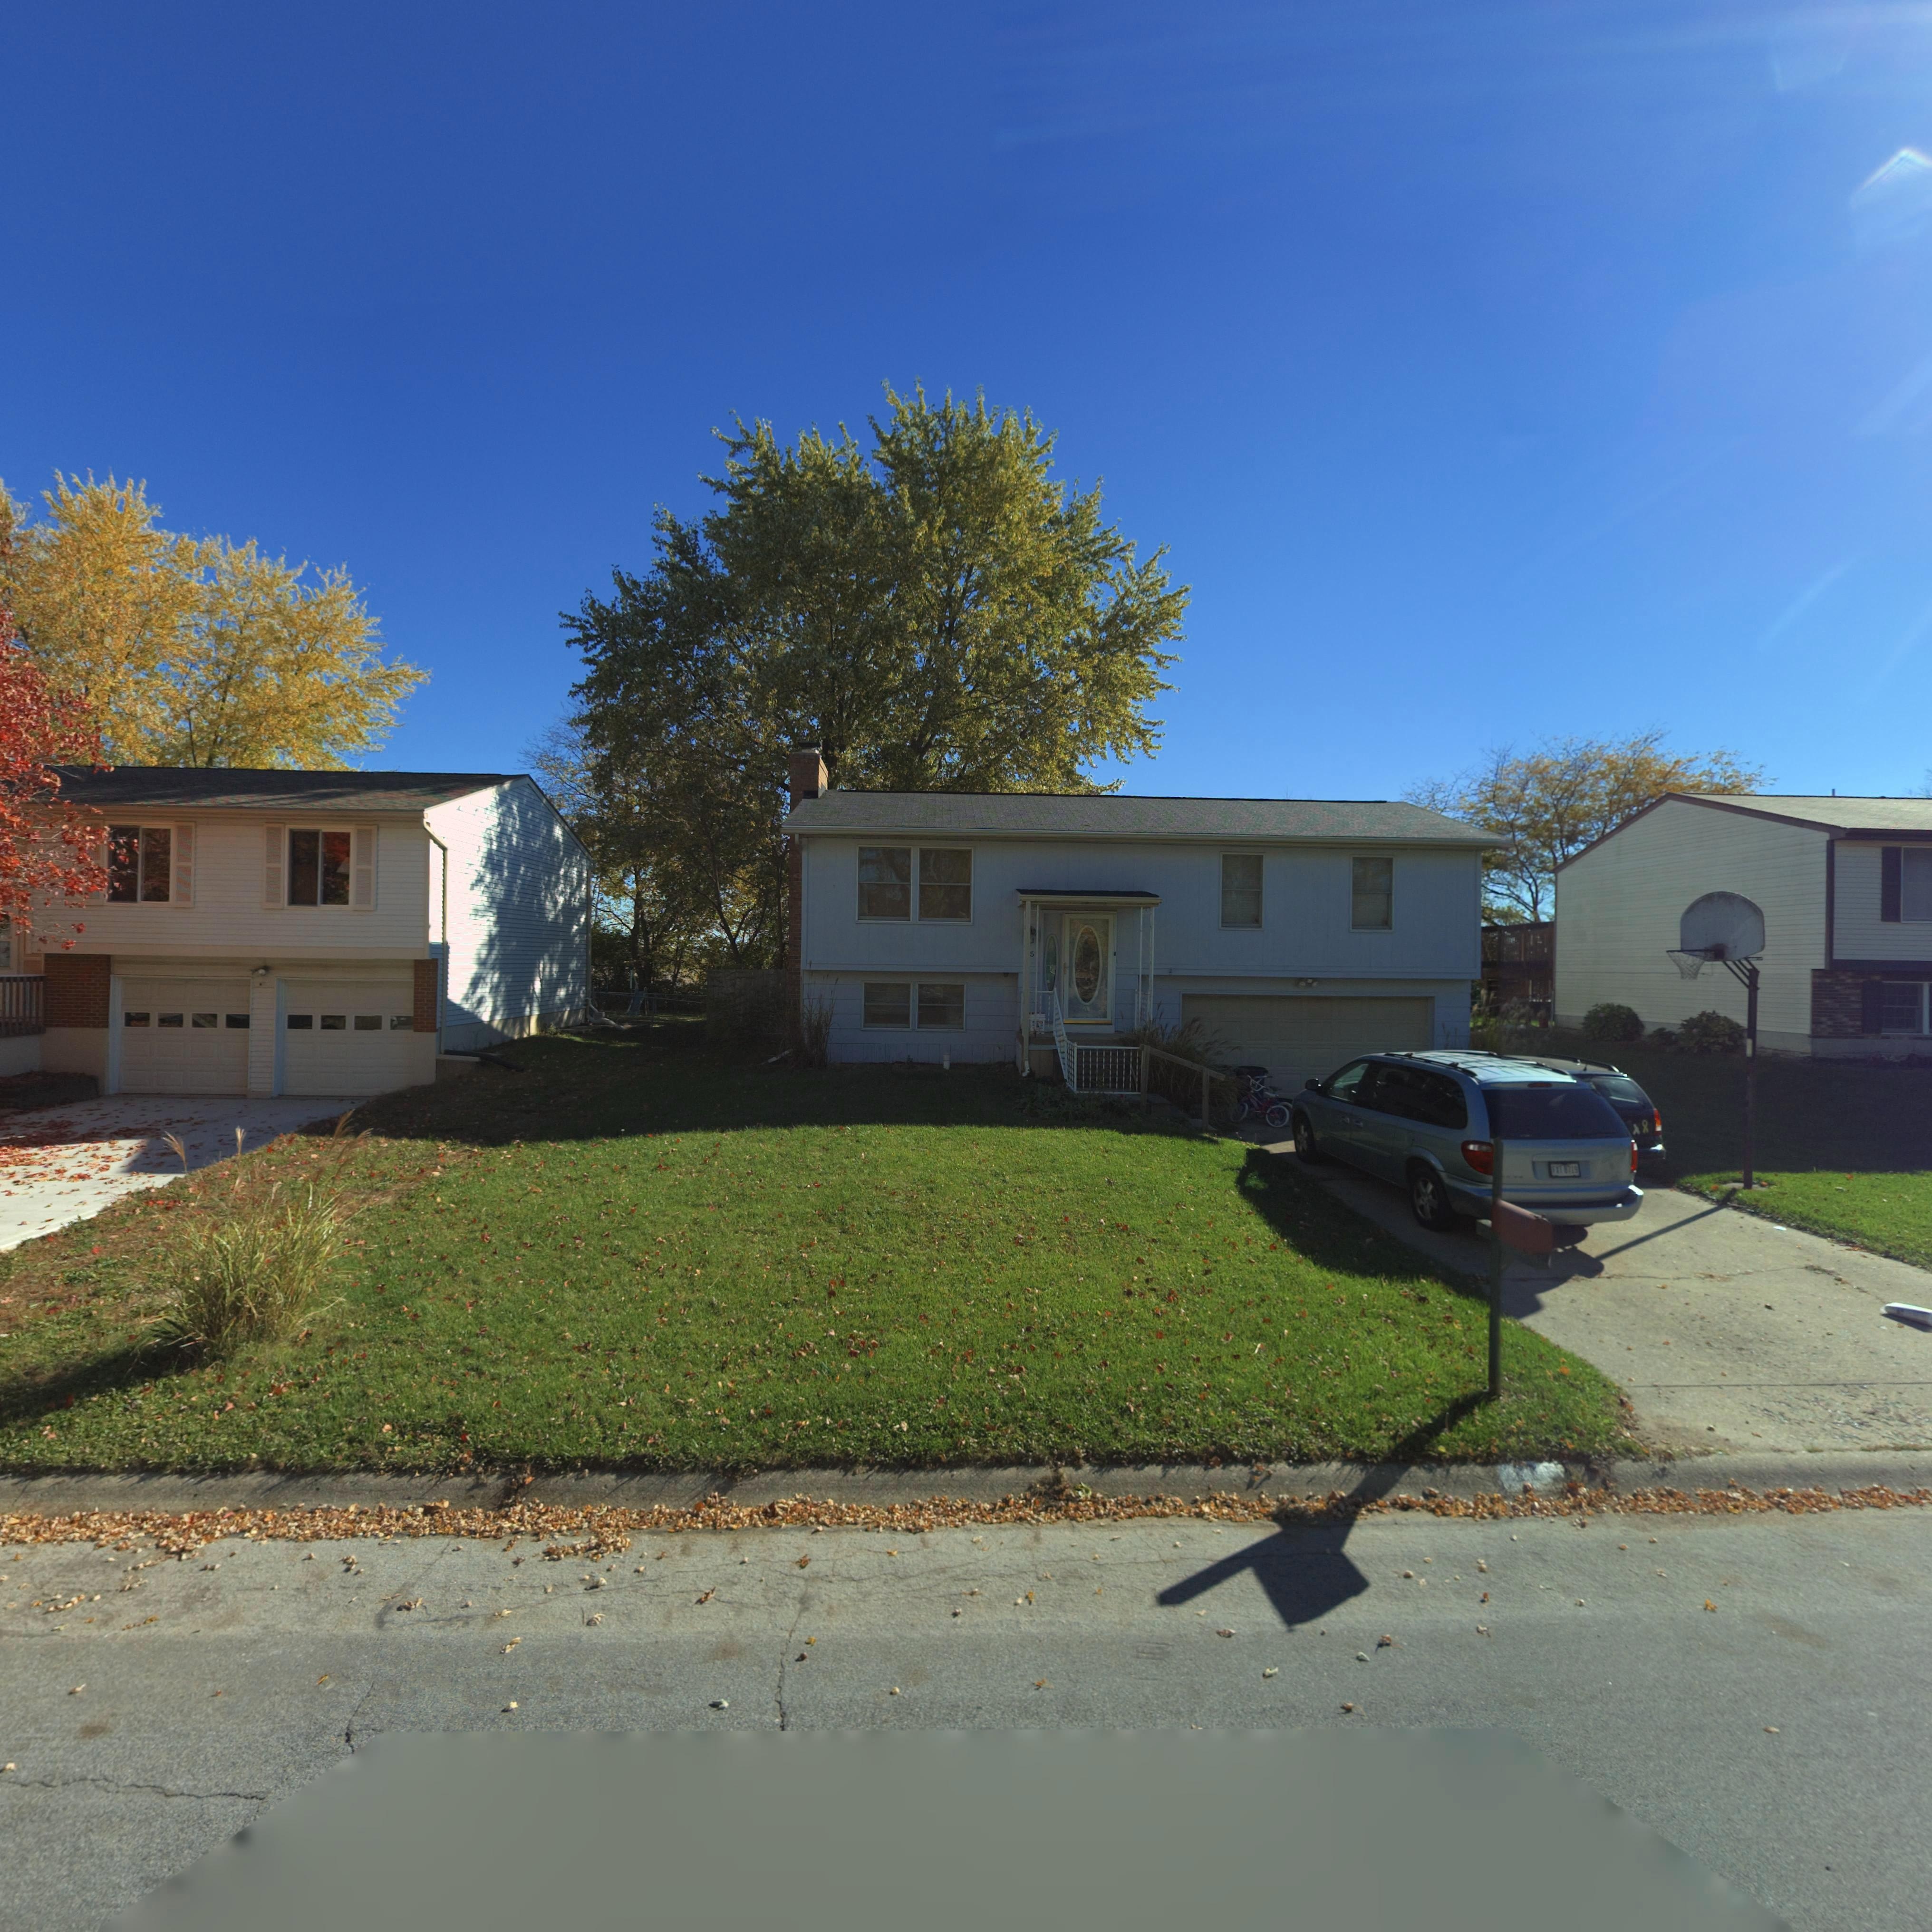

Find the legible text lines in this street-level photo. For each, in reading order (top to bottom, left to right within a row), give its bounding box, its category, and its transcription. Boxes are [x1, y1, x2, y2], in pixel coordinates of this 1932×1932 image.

[1029, 950, 1034, 957] StreetNumber: 5